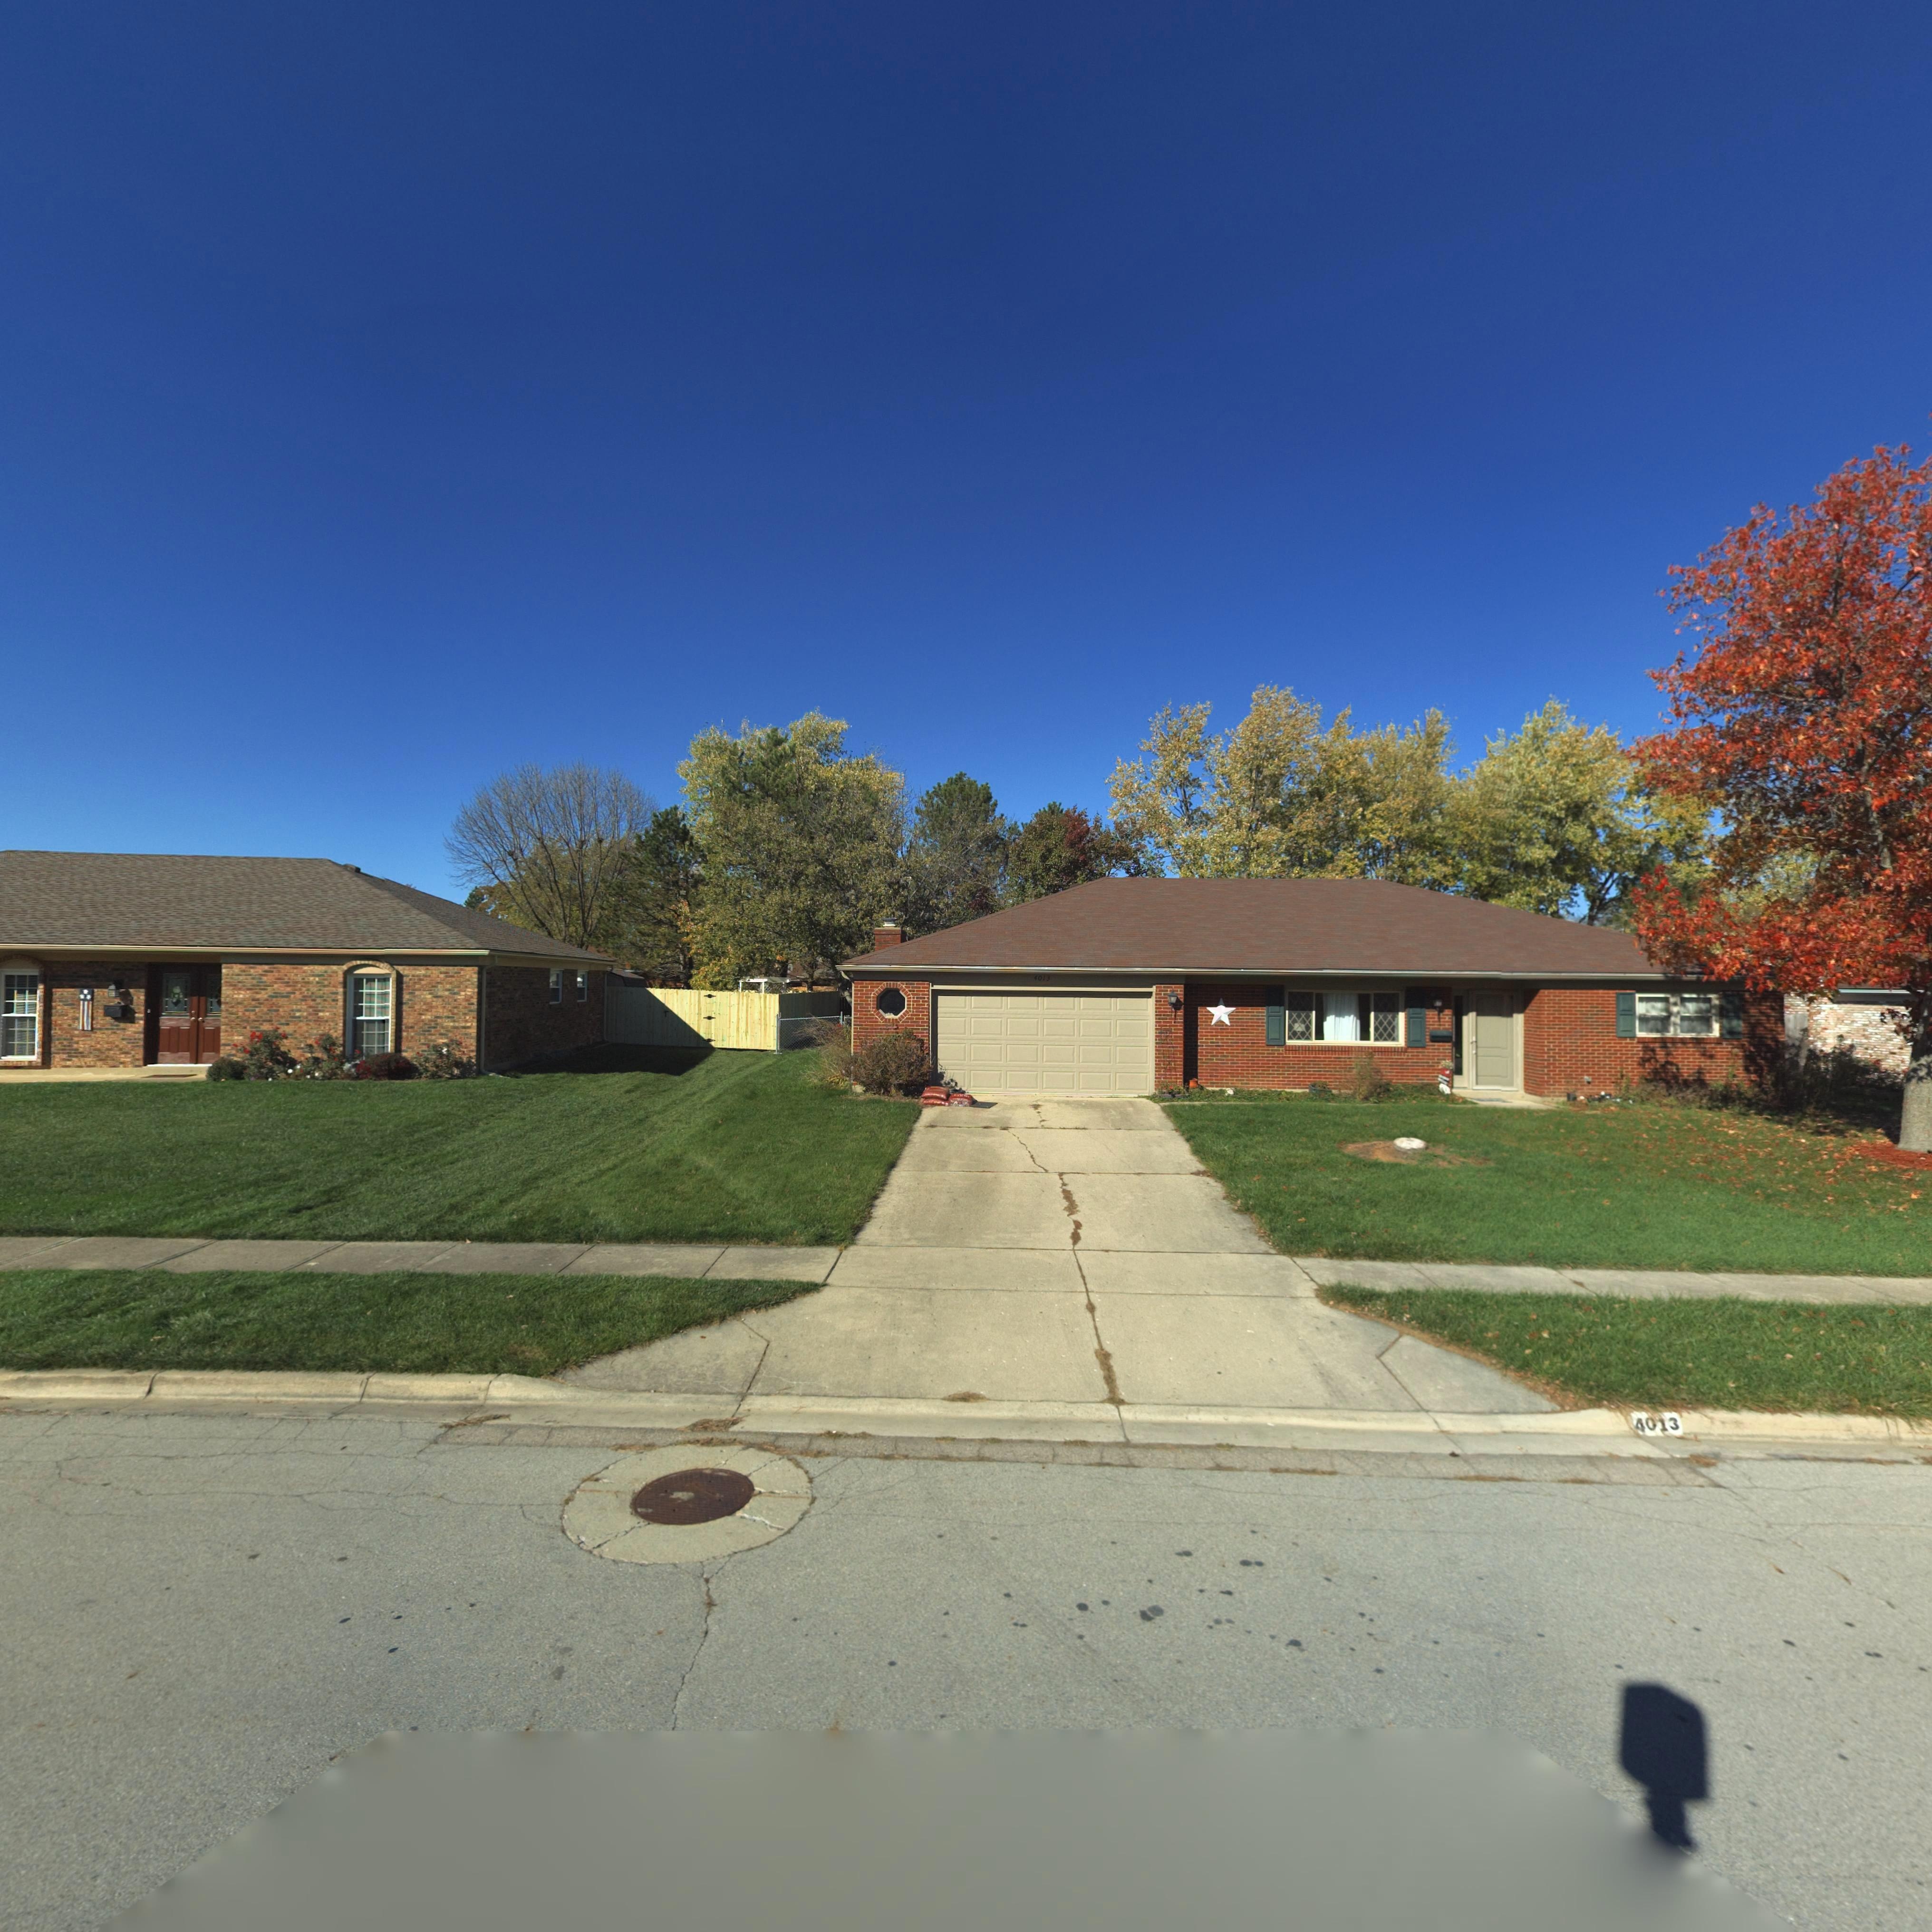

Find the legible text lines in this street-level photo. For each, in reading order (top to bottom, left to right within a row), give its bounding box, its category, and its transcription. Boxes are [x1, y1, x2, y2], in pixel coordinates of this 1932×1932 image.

[1033, 974, 1051, 981] StreetNumber: 4013
[1634, 1417, 1680, 1434] StreetNumber: 4013